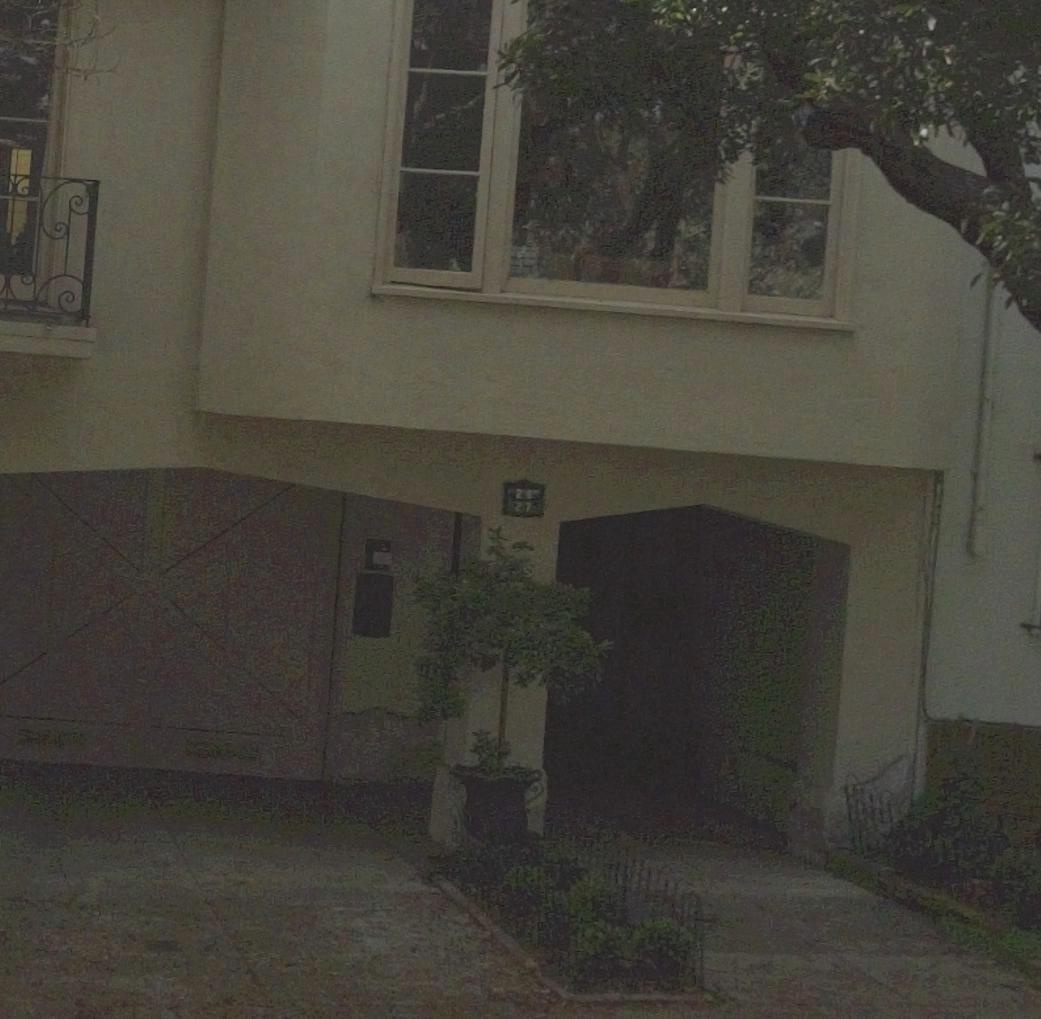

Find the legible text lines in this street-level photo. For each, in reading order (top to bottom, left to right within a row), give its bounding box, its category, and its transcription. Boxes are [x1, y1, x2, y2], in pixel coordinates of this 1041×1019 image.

[514, 488, 534, 499] StreetNumber: 26
[514, 500, 534, 513] StreetNumber: 27